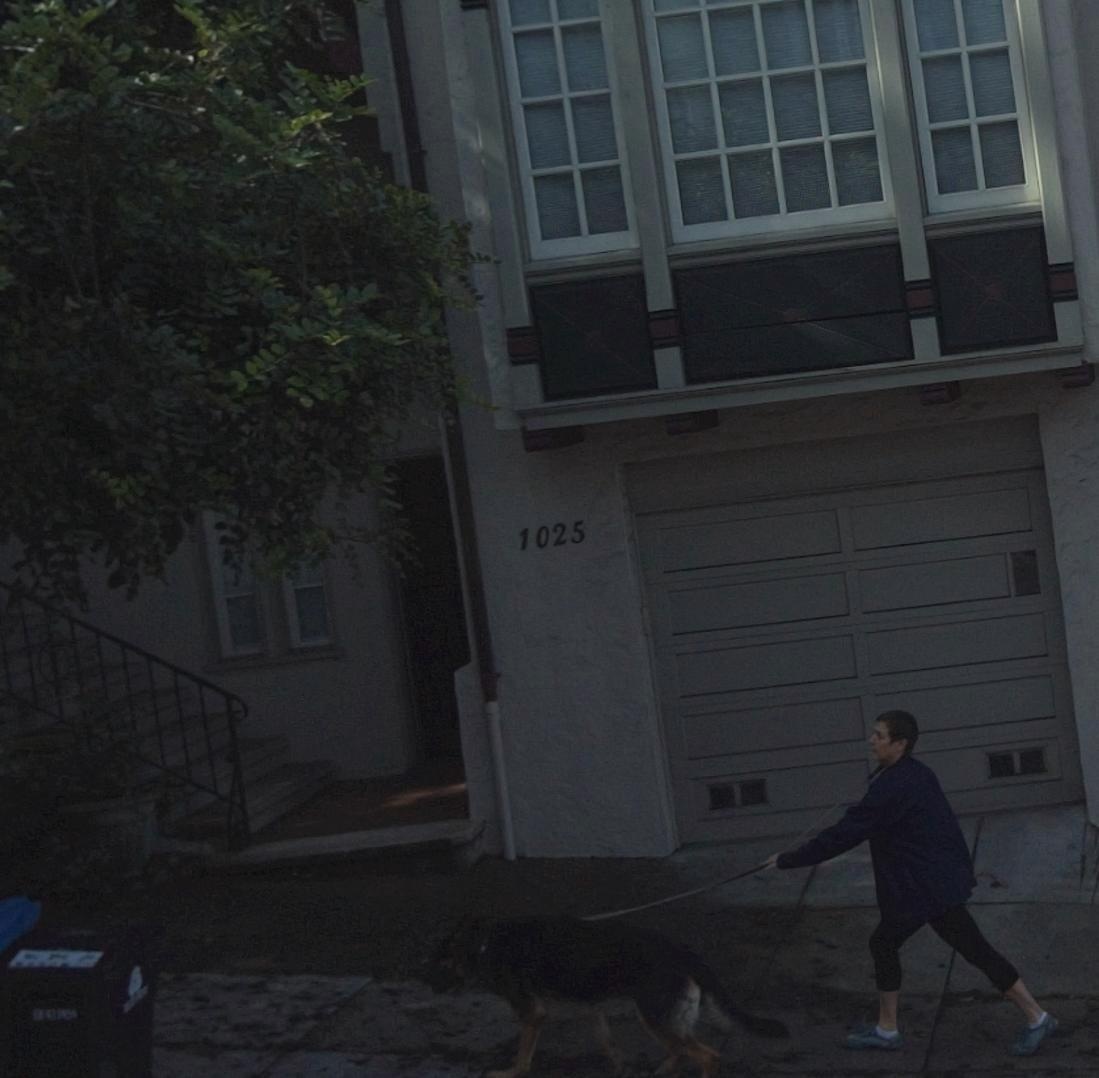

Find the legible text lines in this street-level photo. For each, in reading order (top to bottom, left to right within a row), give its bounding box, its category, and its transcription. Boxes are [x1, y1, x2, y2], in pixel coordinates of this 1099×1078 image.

[516, 516, 588, 555] StreetNumber: 1025